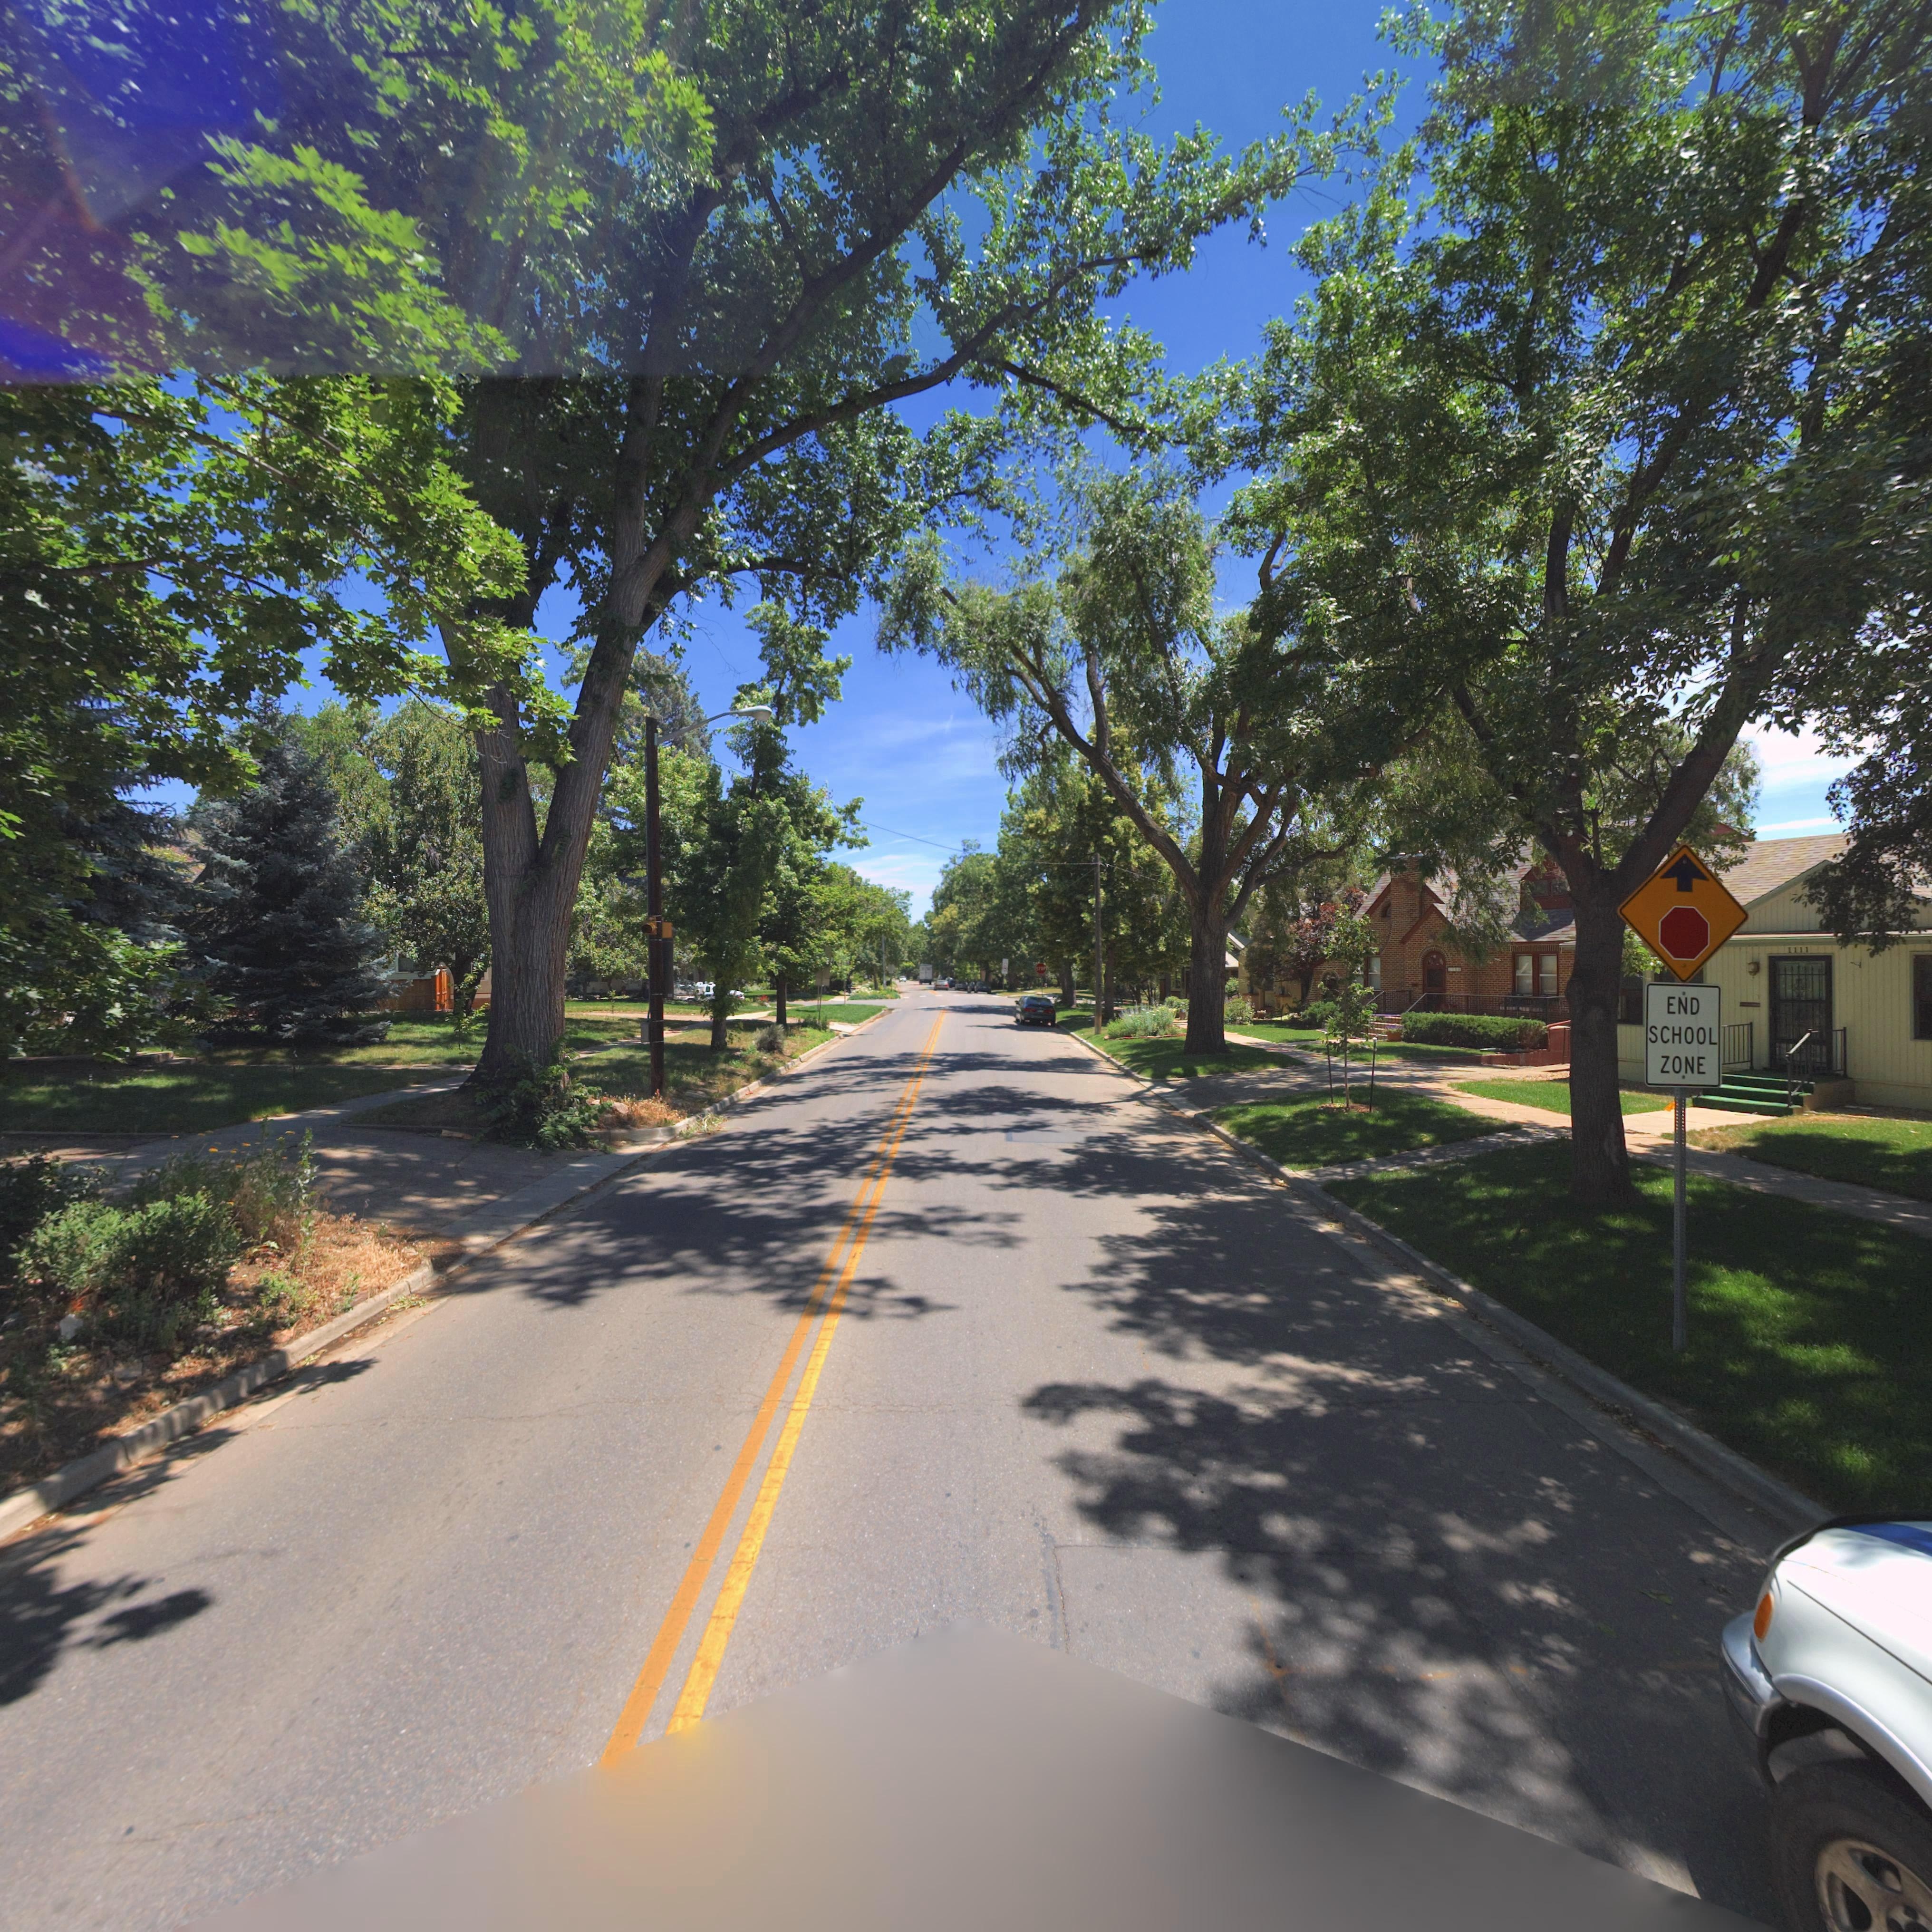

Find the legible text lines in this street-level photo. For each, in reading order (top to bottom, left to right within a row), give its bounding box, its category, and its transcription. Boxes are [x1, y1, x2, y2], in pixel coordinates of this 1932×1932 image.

[1787, 946, 1808, 953] StreetNumber: 1111
[1449, 967, 1460, 971] StreetNumber: 110*